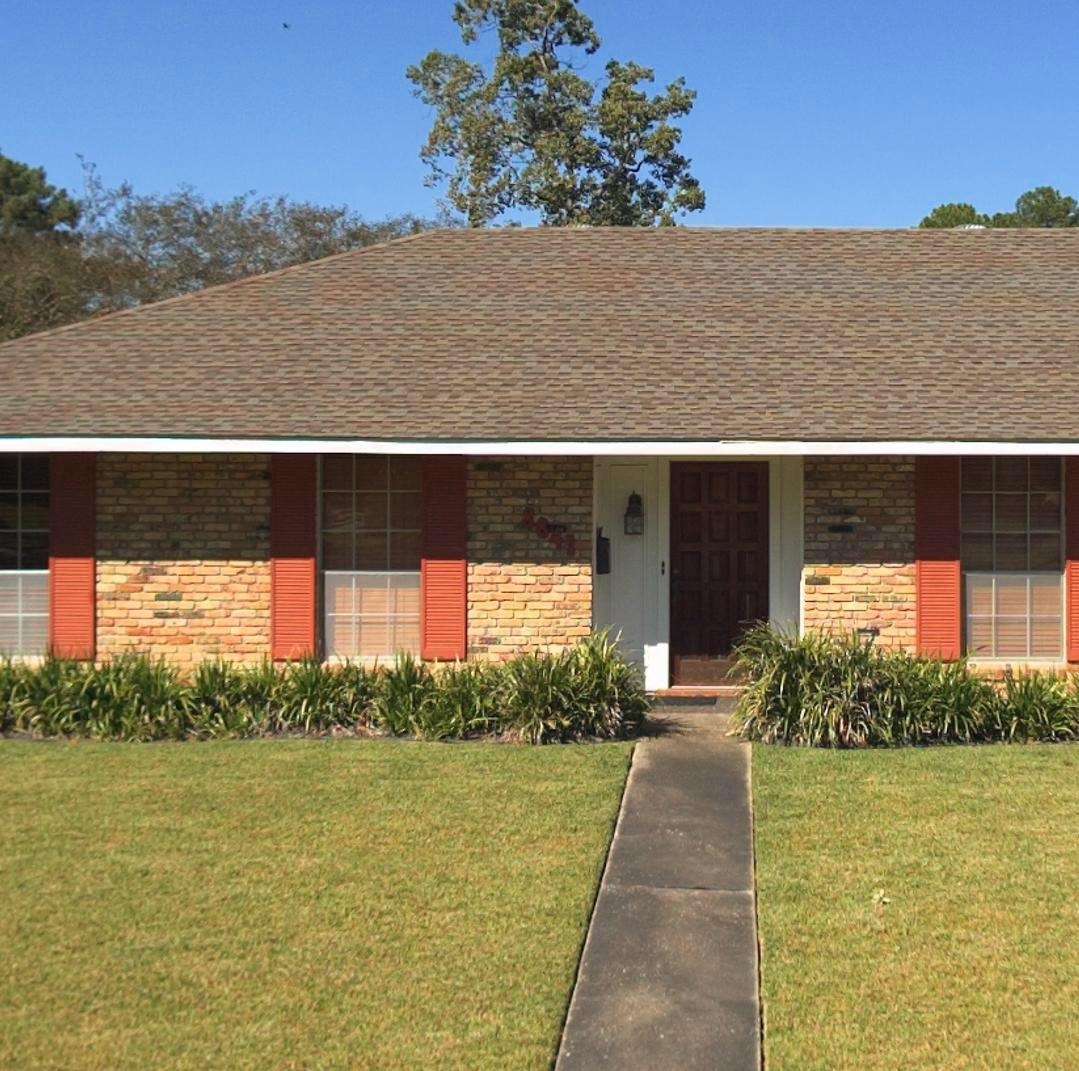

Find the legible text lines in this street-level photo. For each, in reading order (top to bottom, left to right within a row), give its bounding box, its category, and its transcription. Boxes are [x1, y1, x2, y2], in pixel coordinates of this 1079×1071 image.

[520, 506, 578, 557] StreetNumber: 8841